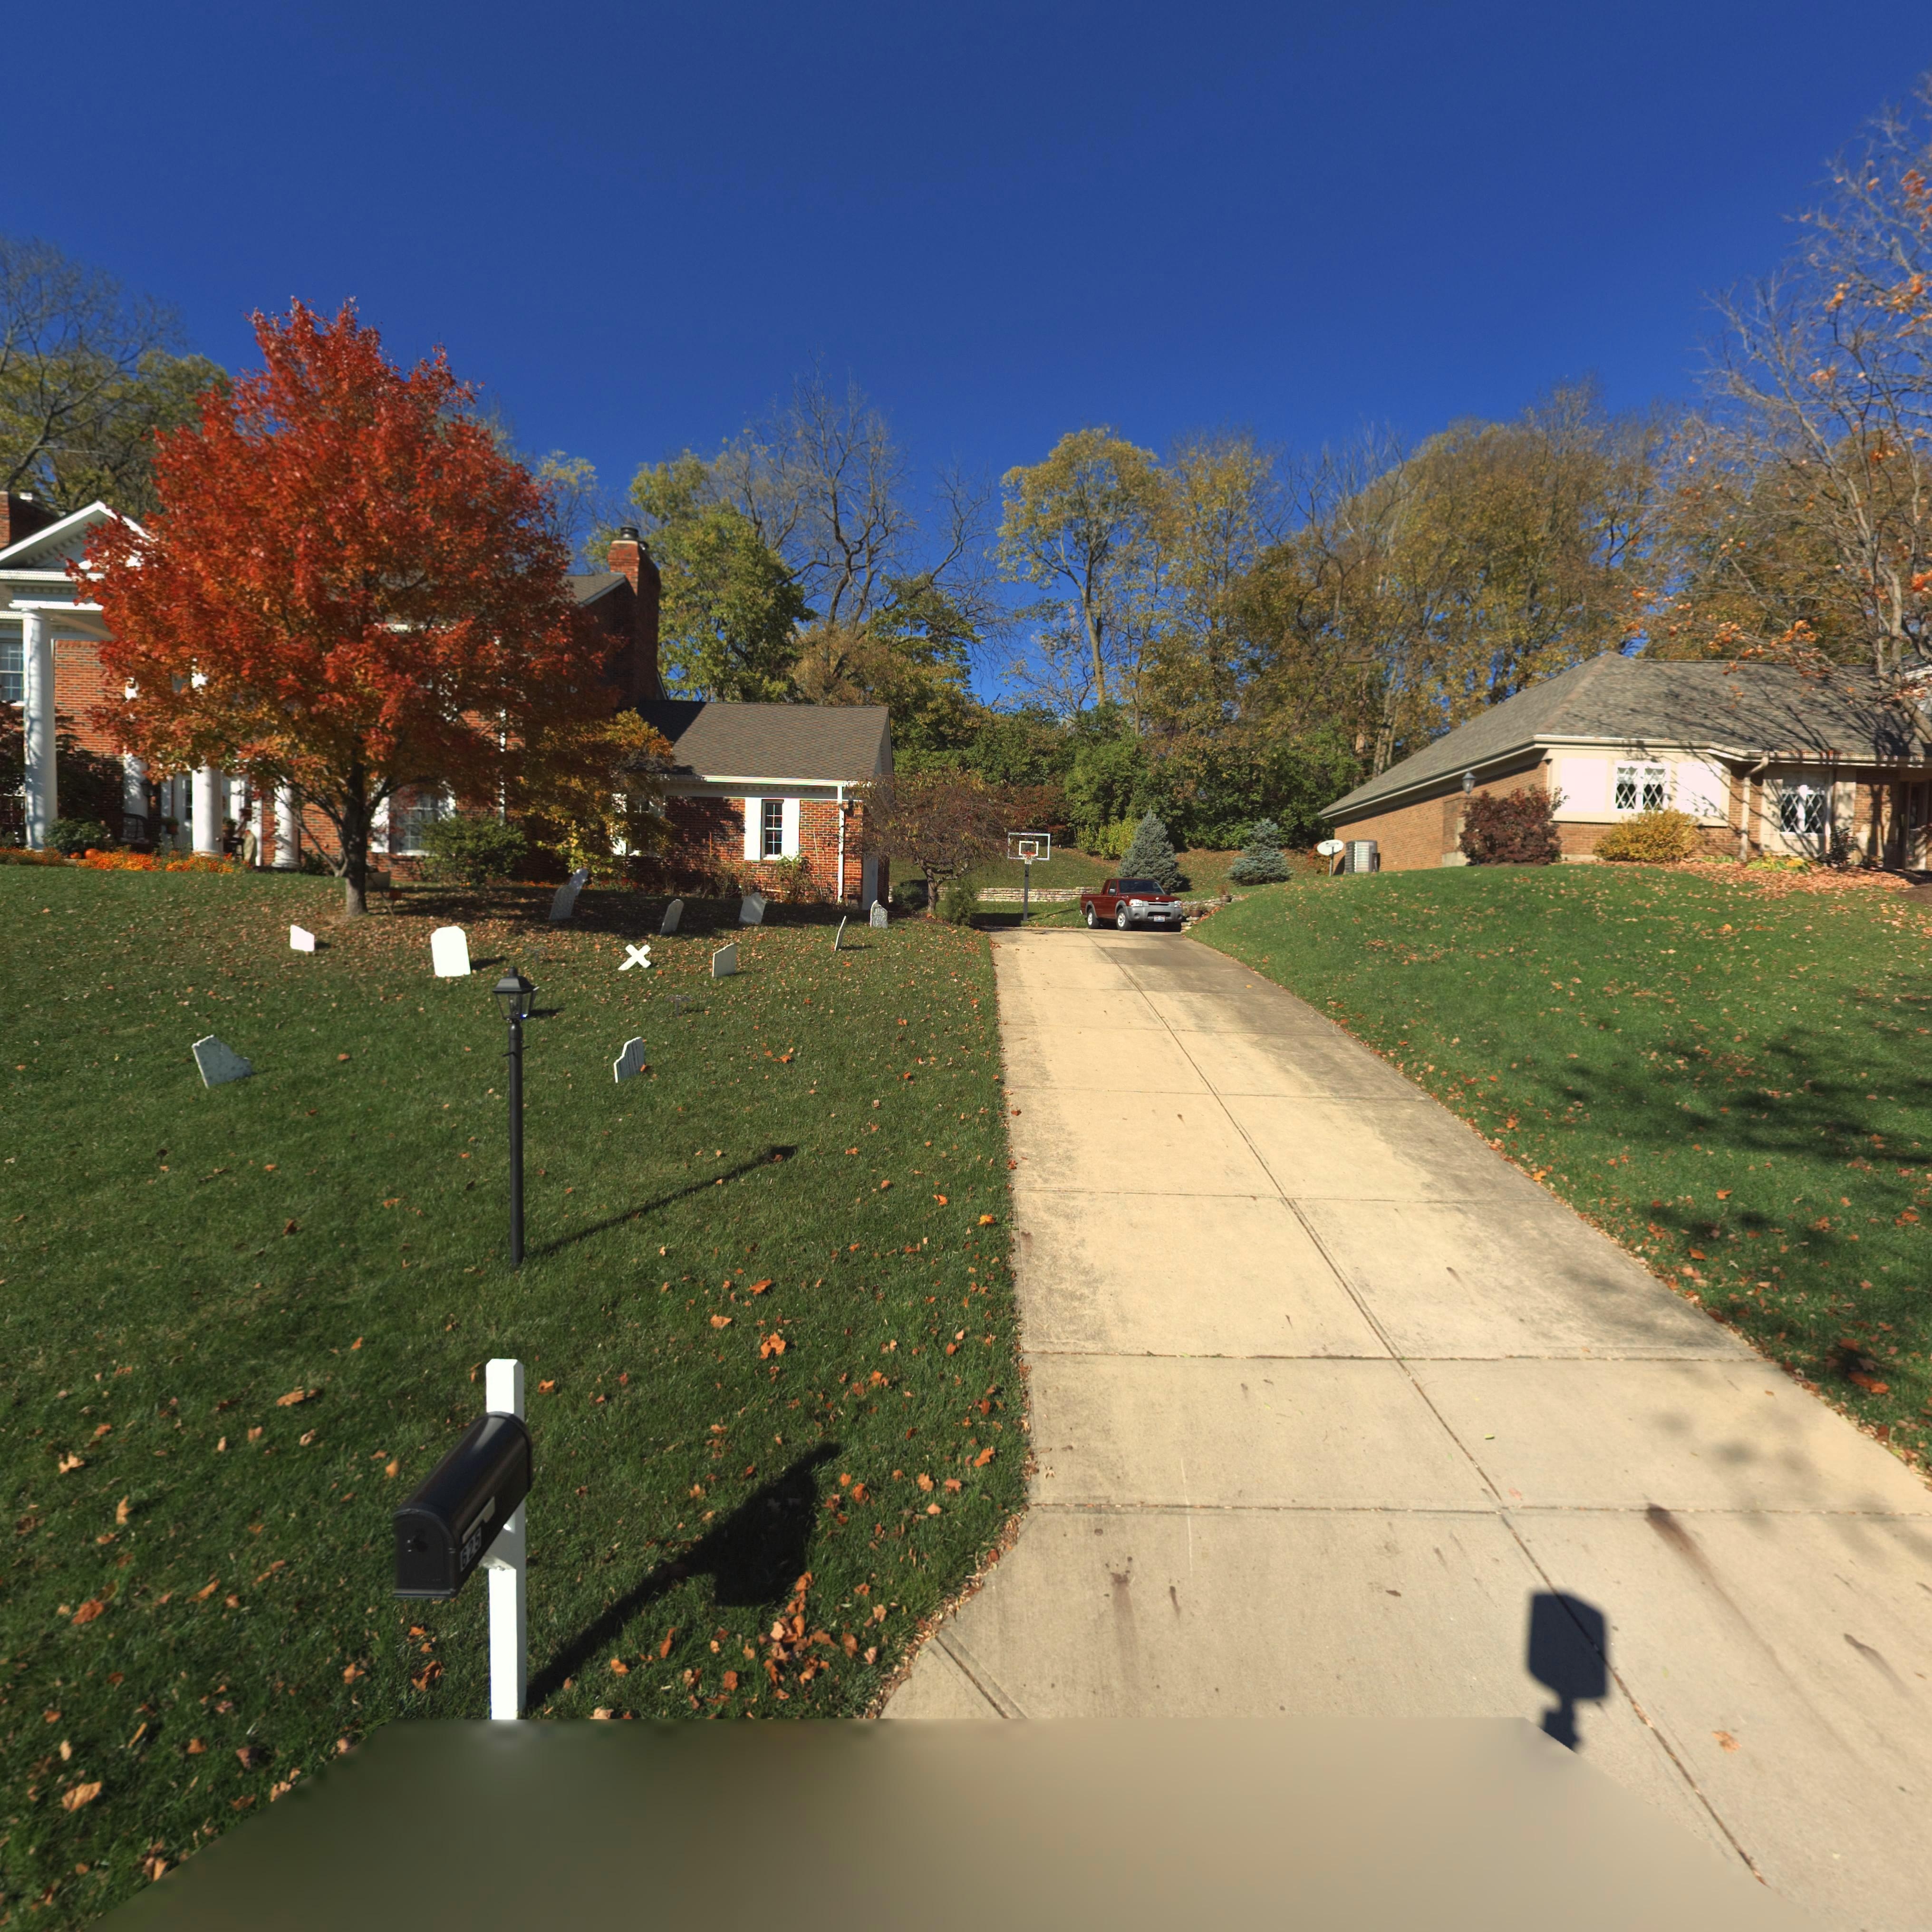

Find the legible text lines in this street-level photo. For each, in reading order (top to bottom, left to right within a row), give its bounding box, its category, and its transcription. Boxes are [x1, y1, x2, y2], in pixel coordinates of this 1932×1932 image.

[461, 1528, 482, 1570] StreetNumber: 625